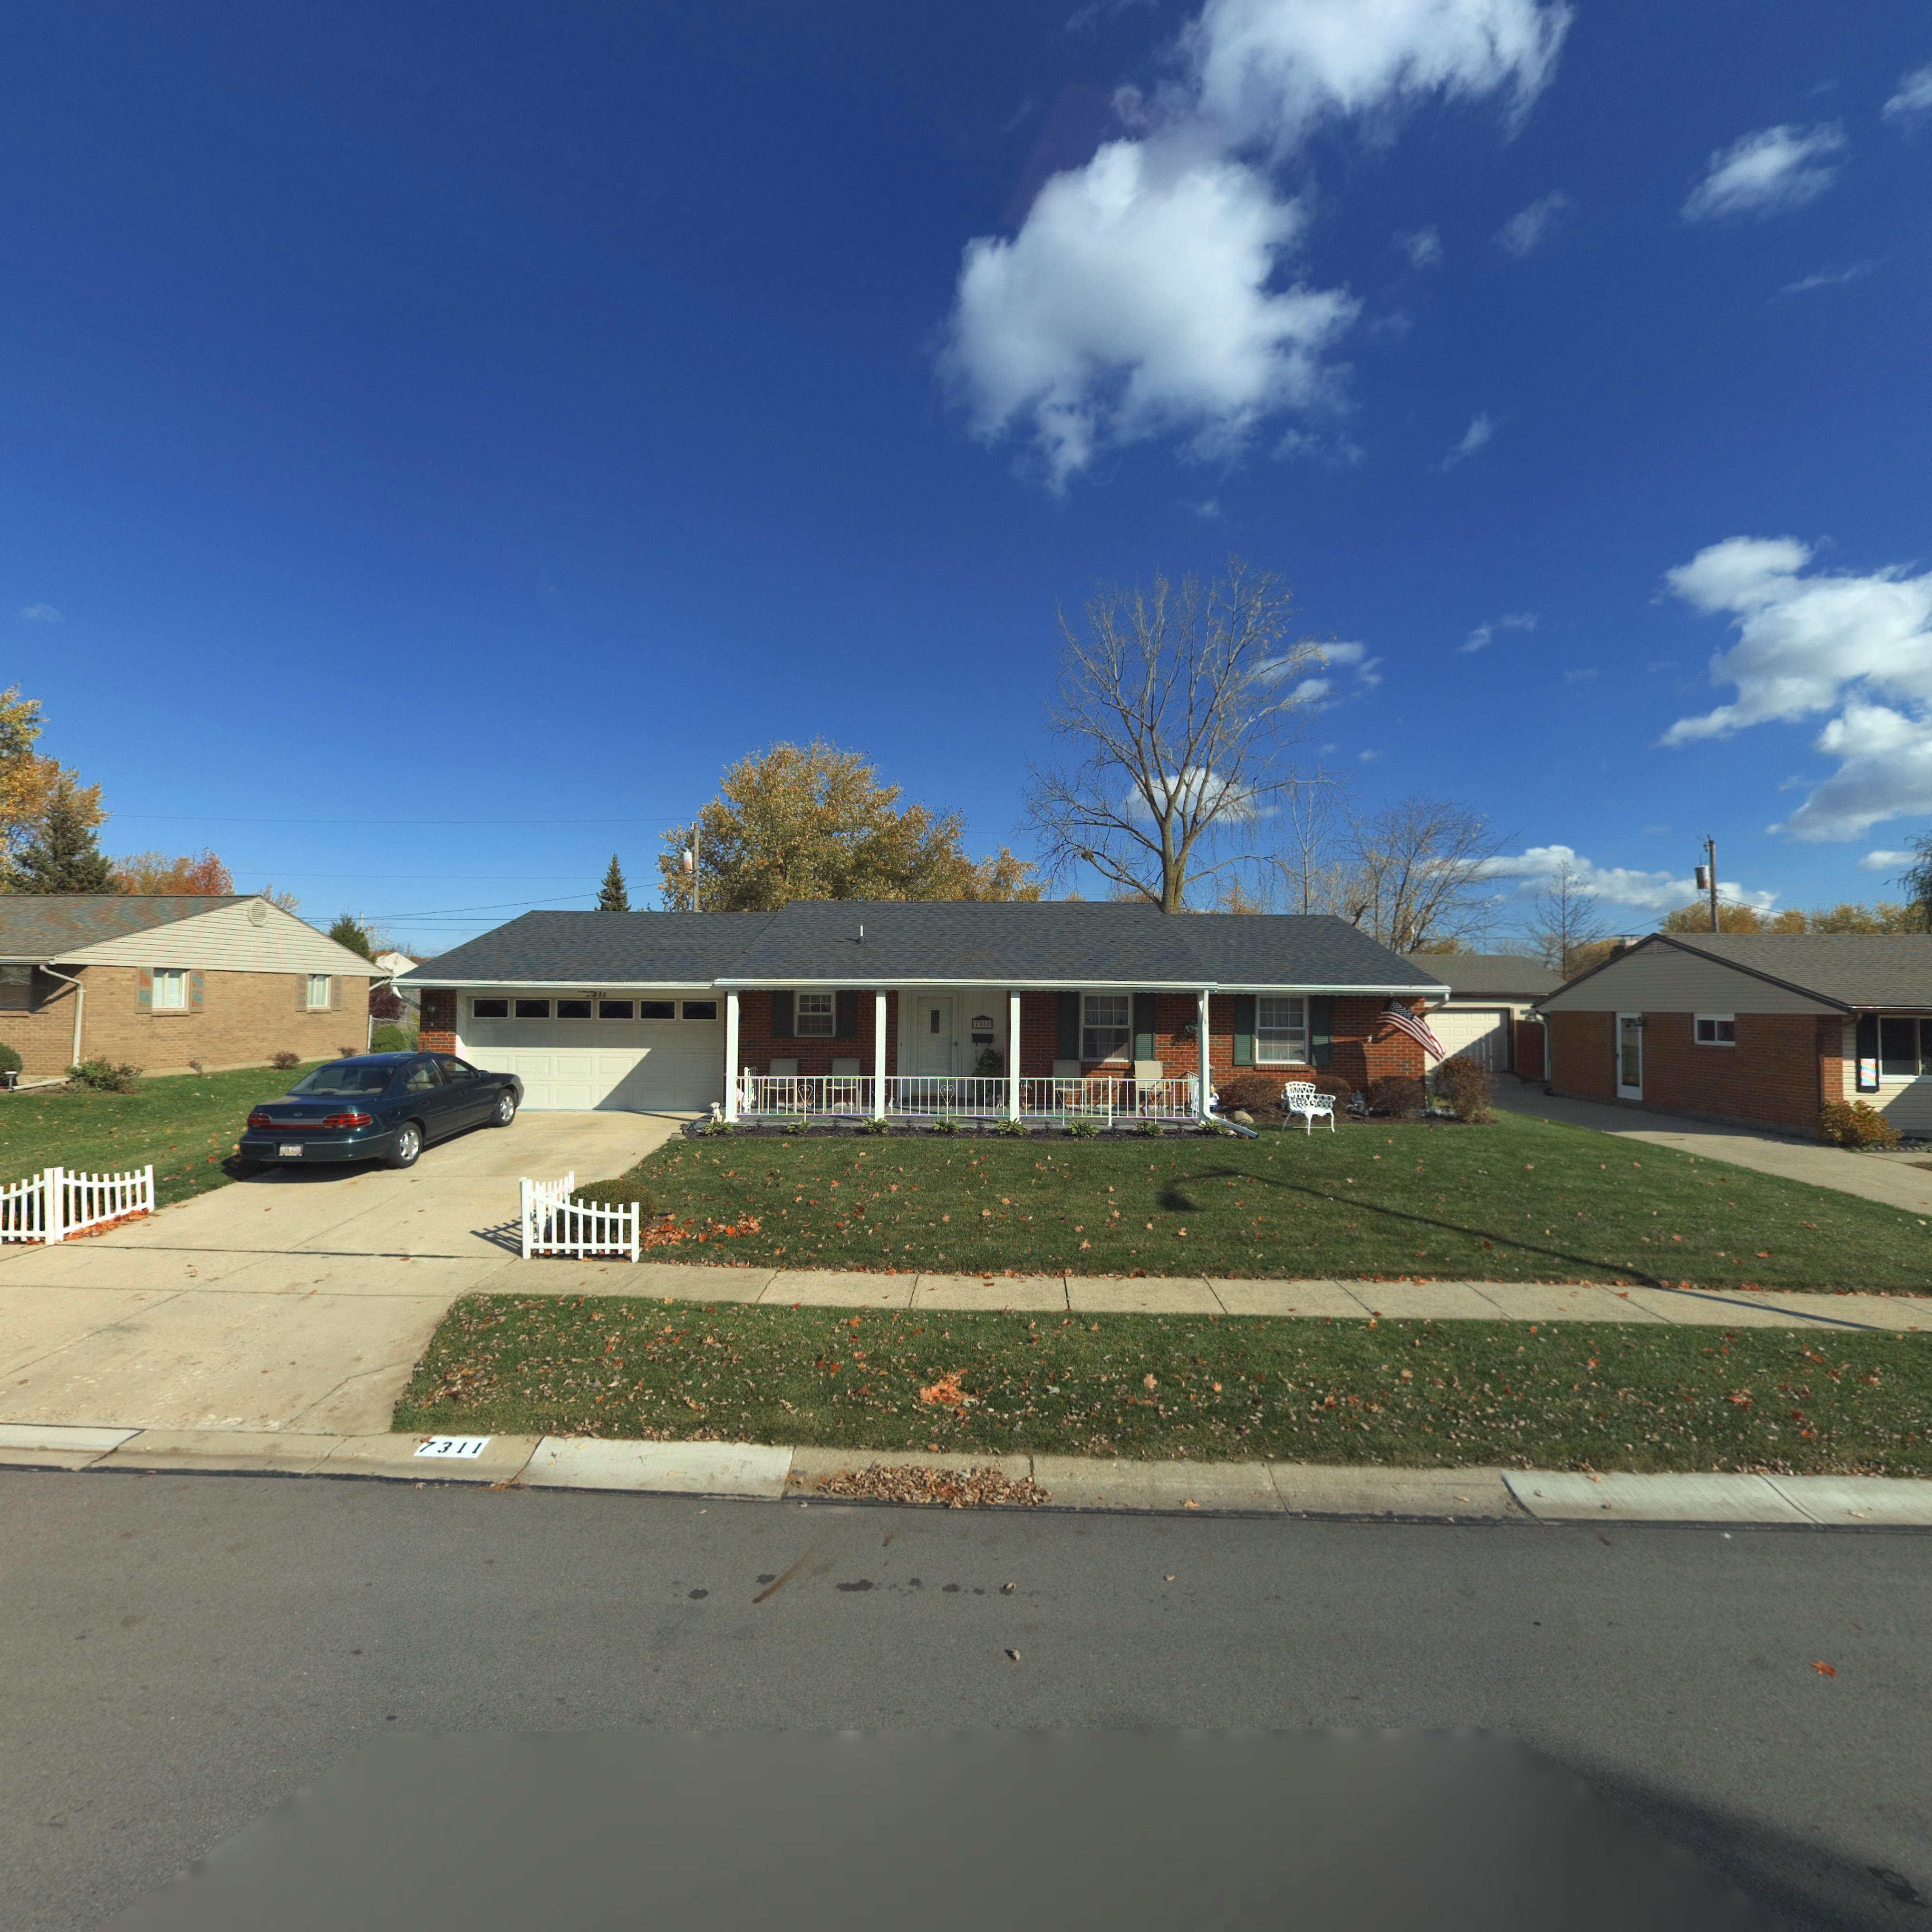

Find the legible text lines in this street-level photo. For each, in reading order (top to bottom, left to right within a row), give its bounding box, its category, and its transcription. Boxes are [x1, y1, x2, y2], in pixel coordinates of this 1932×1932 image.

[974, 1020, 990, 1028] StreetNumber: 7311
[417, 1440, 484, 1455] StreetNumber: 7311